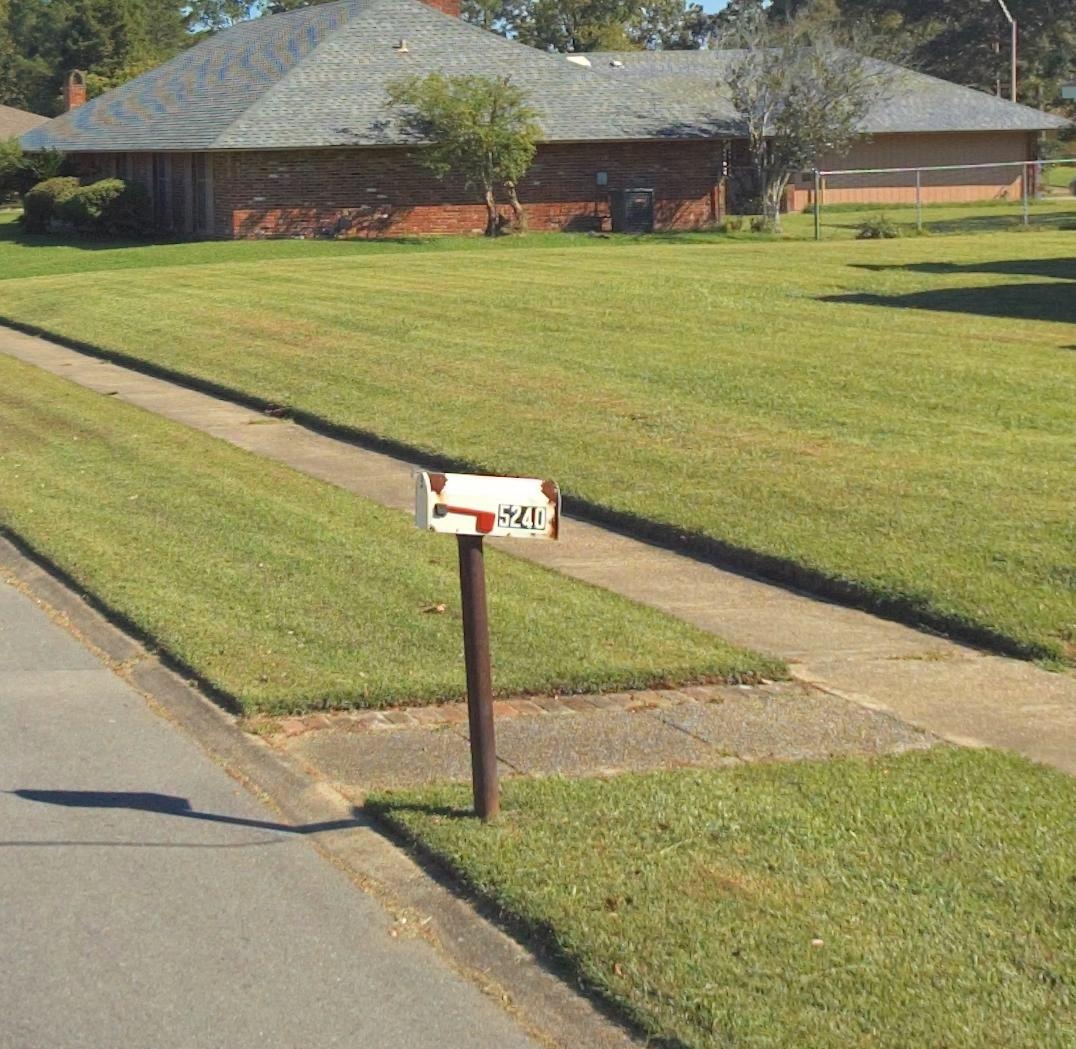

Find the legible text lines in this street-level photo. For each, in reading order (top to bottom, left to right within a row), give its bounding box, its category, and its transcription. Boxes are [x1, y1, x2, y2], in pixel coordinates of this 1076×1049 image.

[497, 502, 547, 532] StreetNumber: 5240